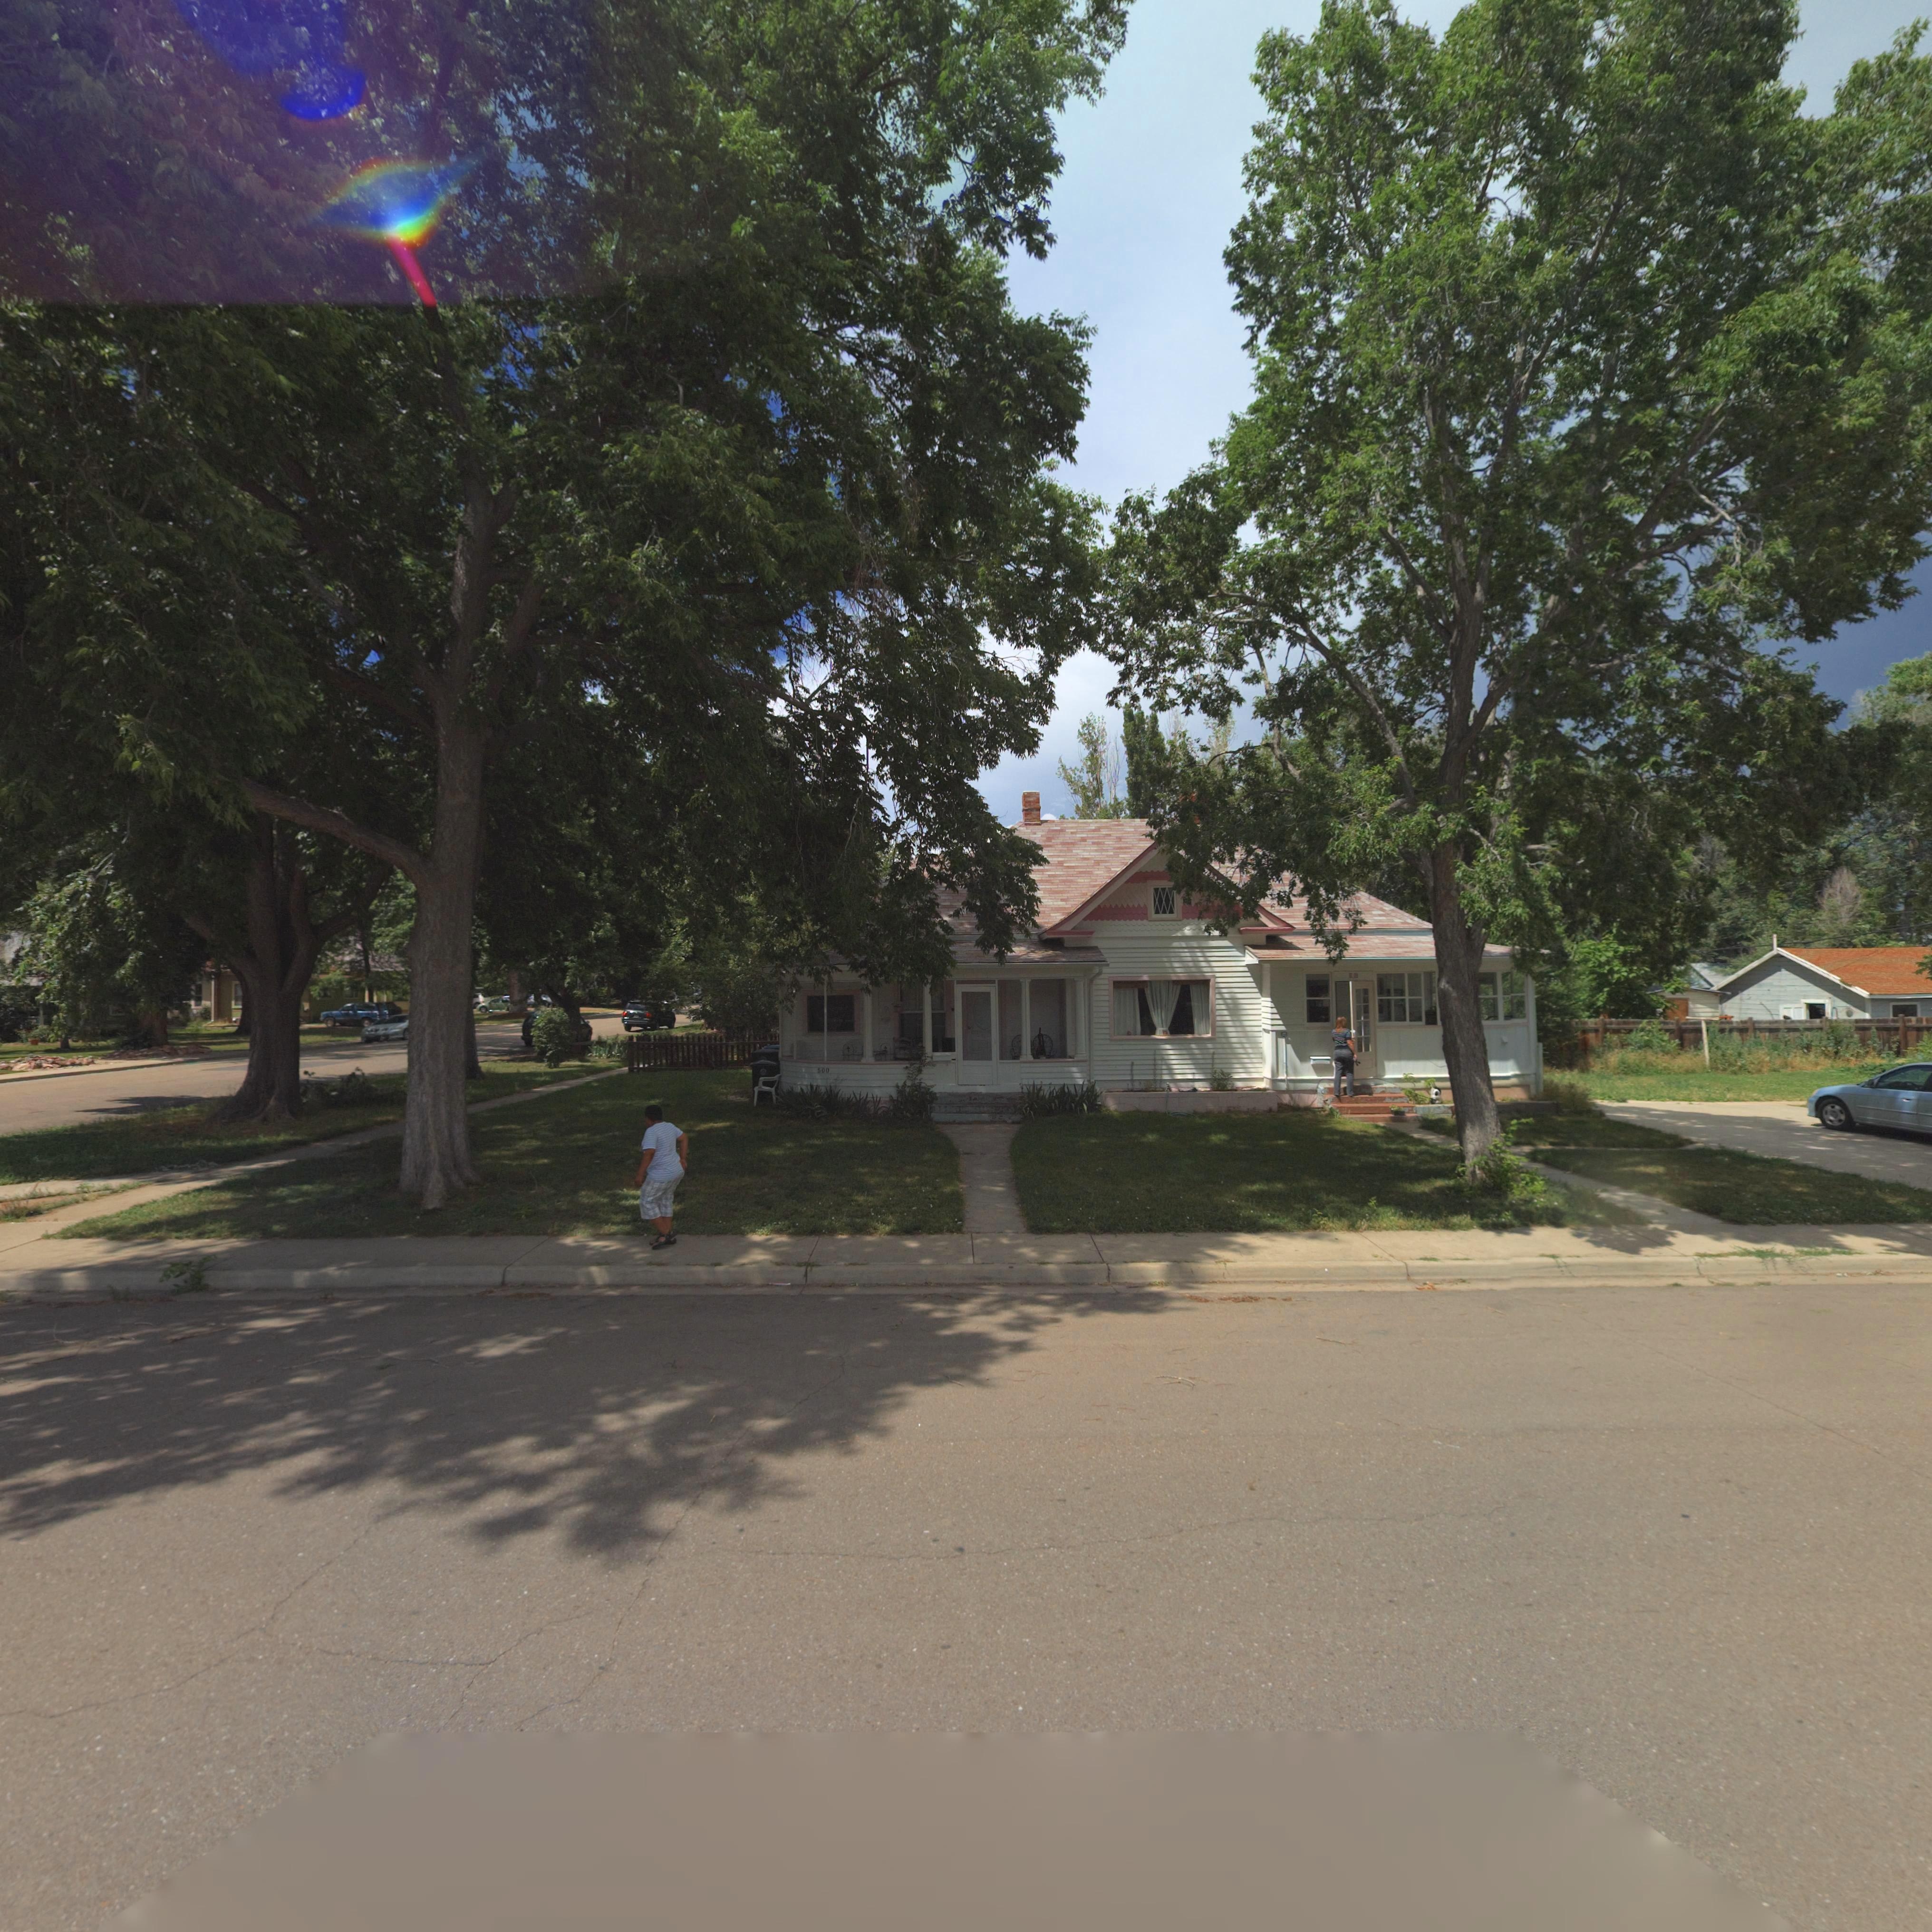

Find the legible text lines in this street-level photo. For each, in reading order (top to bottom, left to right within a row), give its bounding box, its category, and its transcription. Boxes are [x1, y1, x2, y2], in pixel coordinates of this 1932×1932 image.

[1348, 972, 1359, 978] StreetNumber: 5**
[817, 1067, 829, 1074] StreetNumber: 500